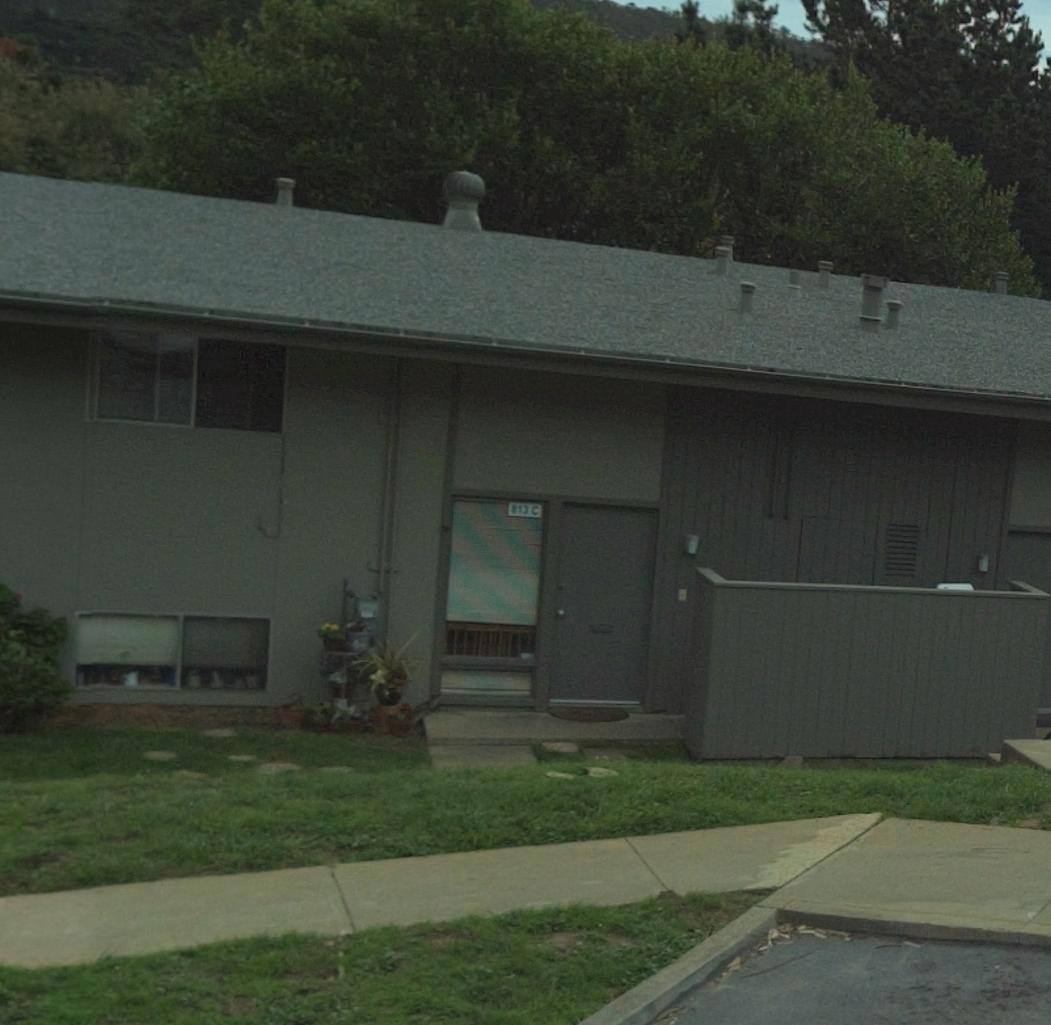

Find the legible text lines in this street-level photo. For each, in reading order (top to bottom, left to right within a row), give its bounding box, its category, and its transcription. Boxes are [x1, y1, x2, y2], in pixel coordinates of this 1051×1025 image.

[510, 504, 541, 516] StreetNumber: 813 C